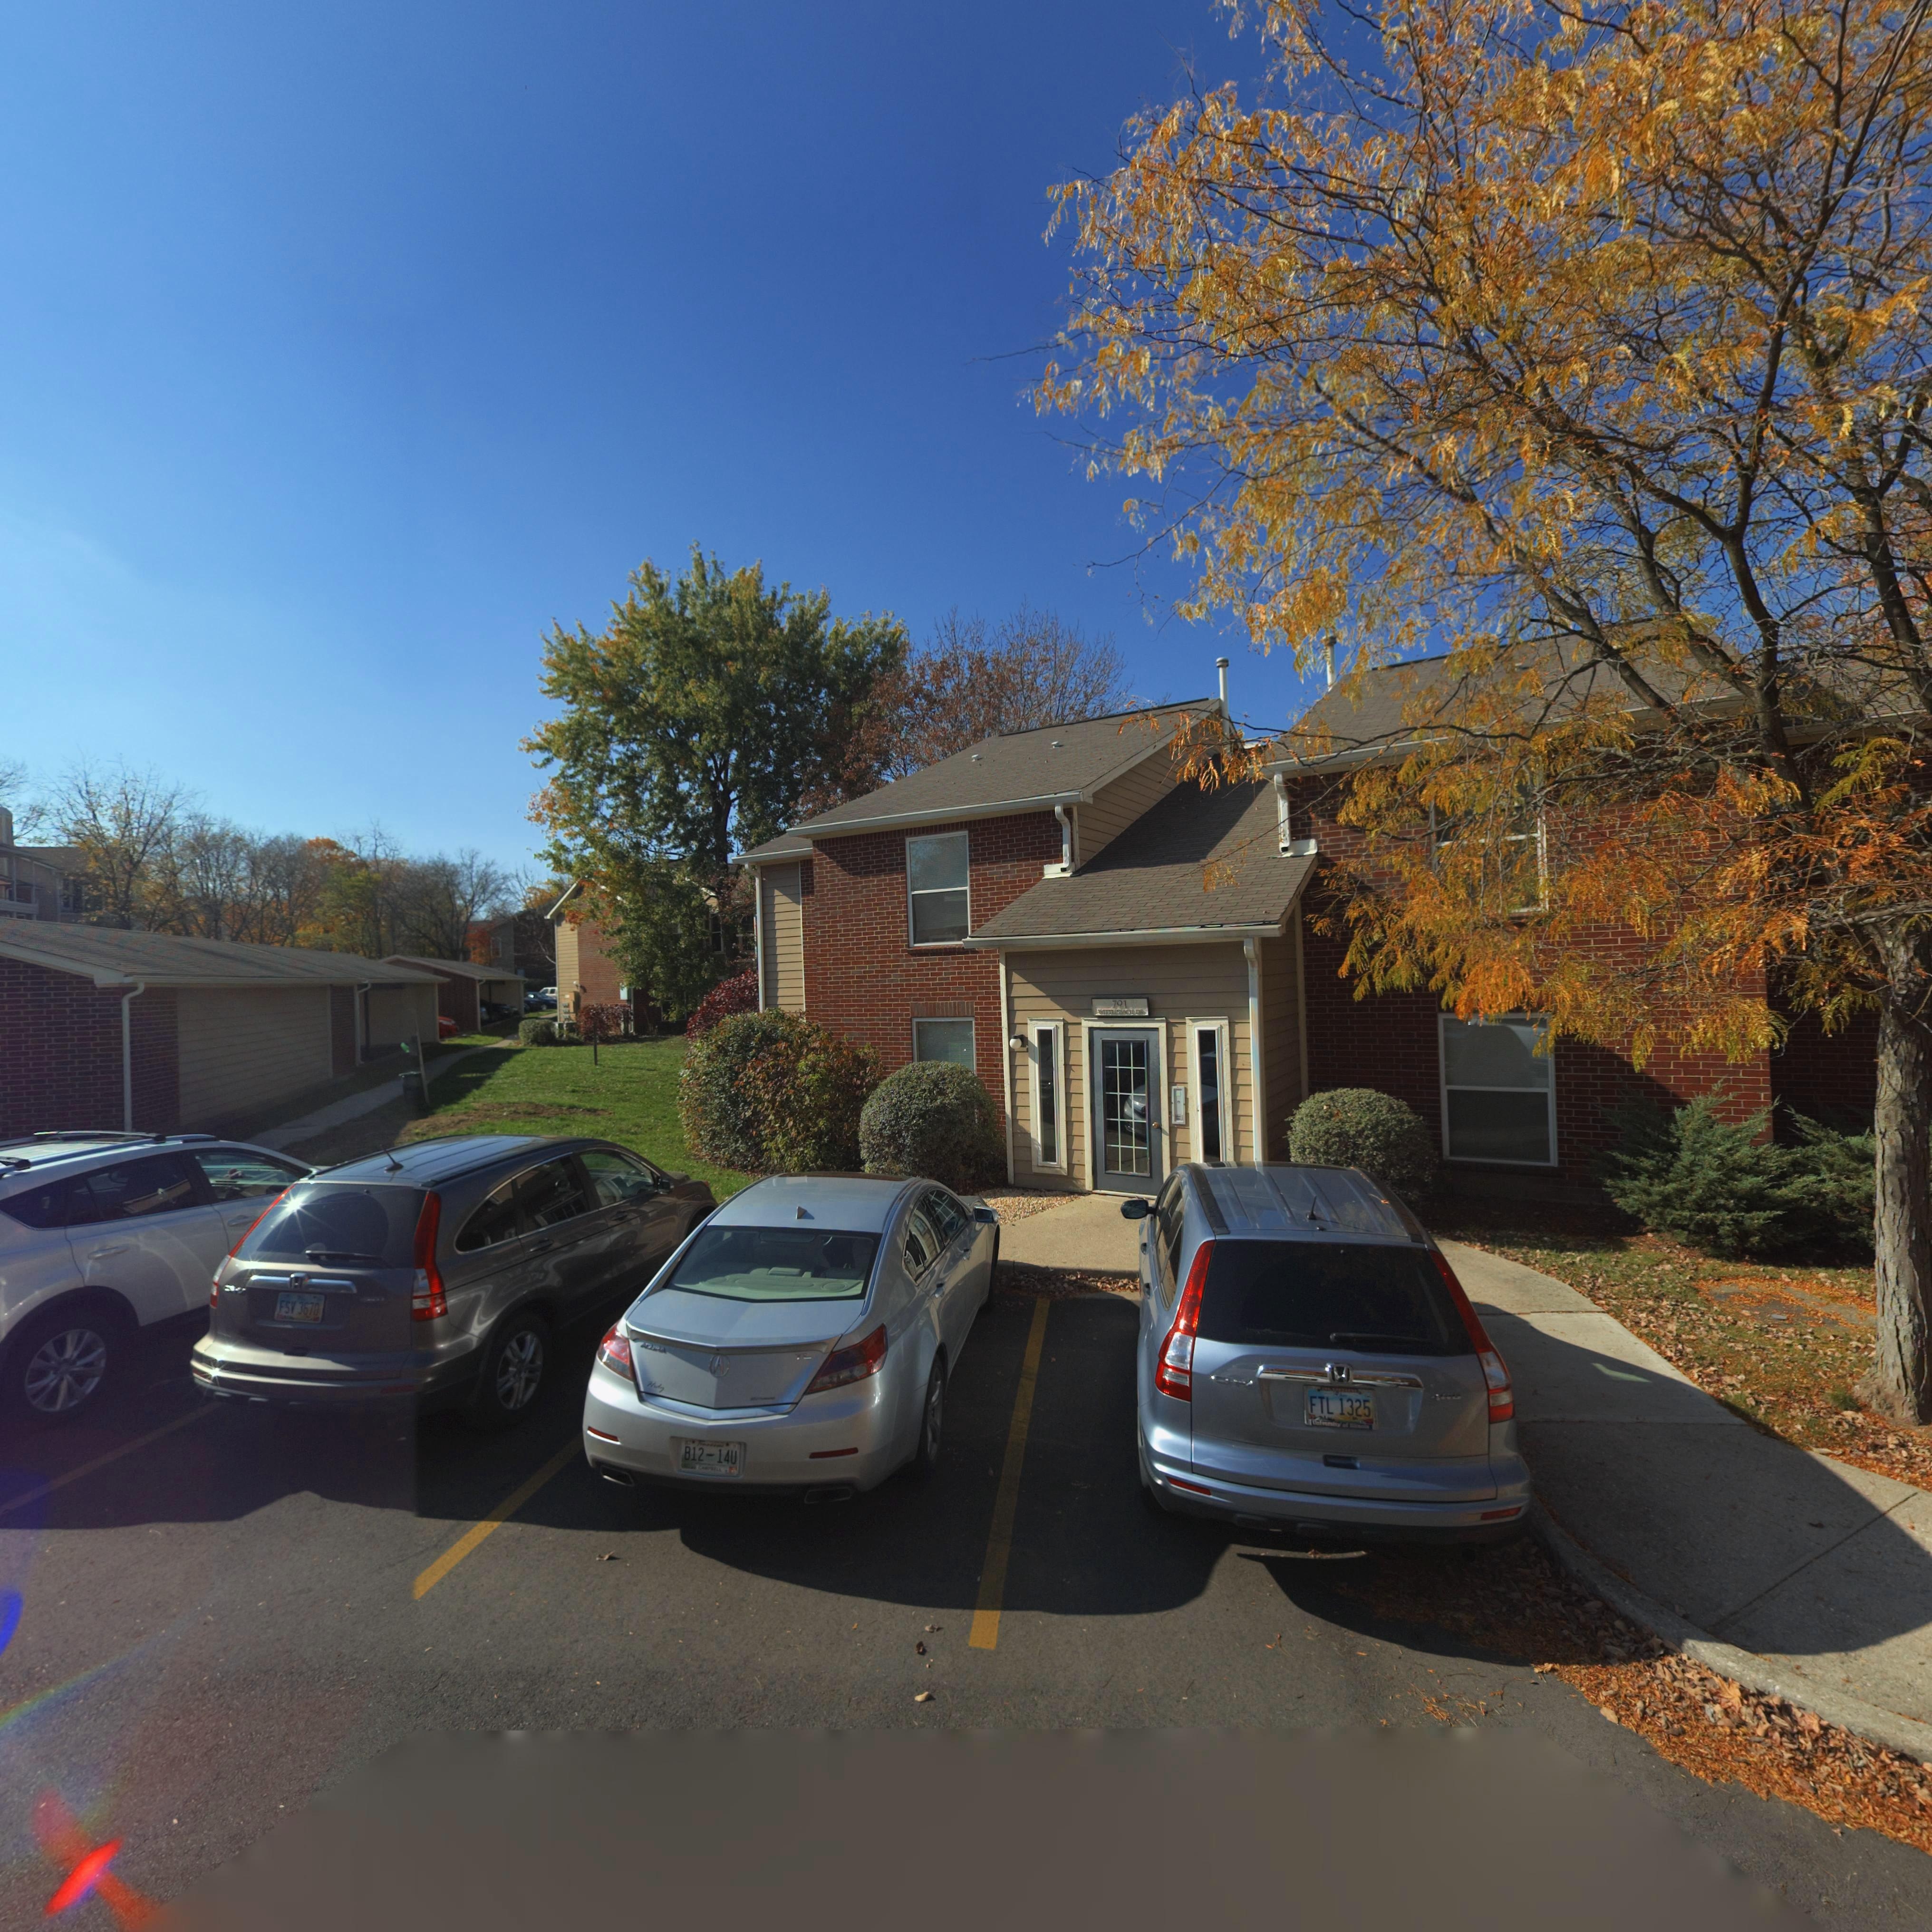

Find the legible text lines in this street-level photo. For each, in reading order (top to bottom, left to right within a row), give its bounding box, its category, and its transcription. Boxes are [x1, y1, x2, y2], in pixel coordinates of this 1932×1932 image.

[1111, 999, 1129, 1010] StreetNumber: 791
[277, 1298, 321, 1318] None: FSV 3670
[1308, 1393, 1373, 1420] None: FTL 1325
[683, 1444, 739, 1467] None: B12-14U